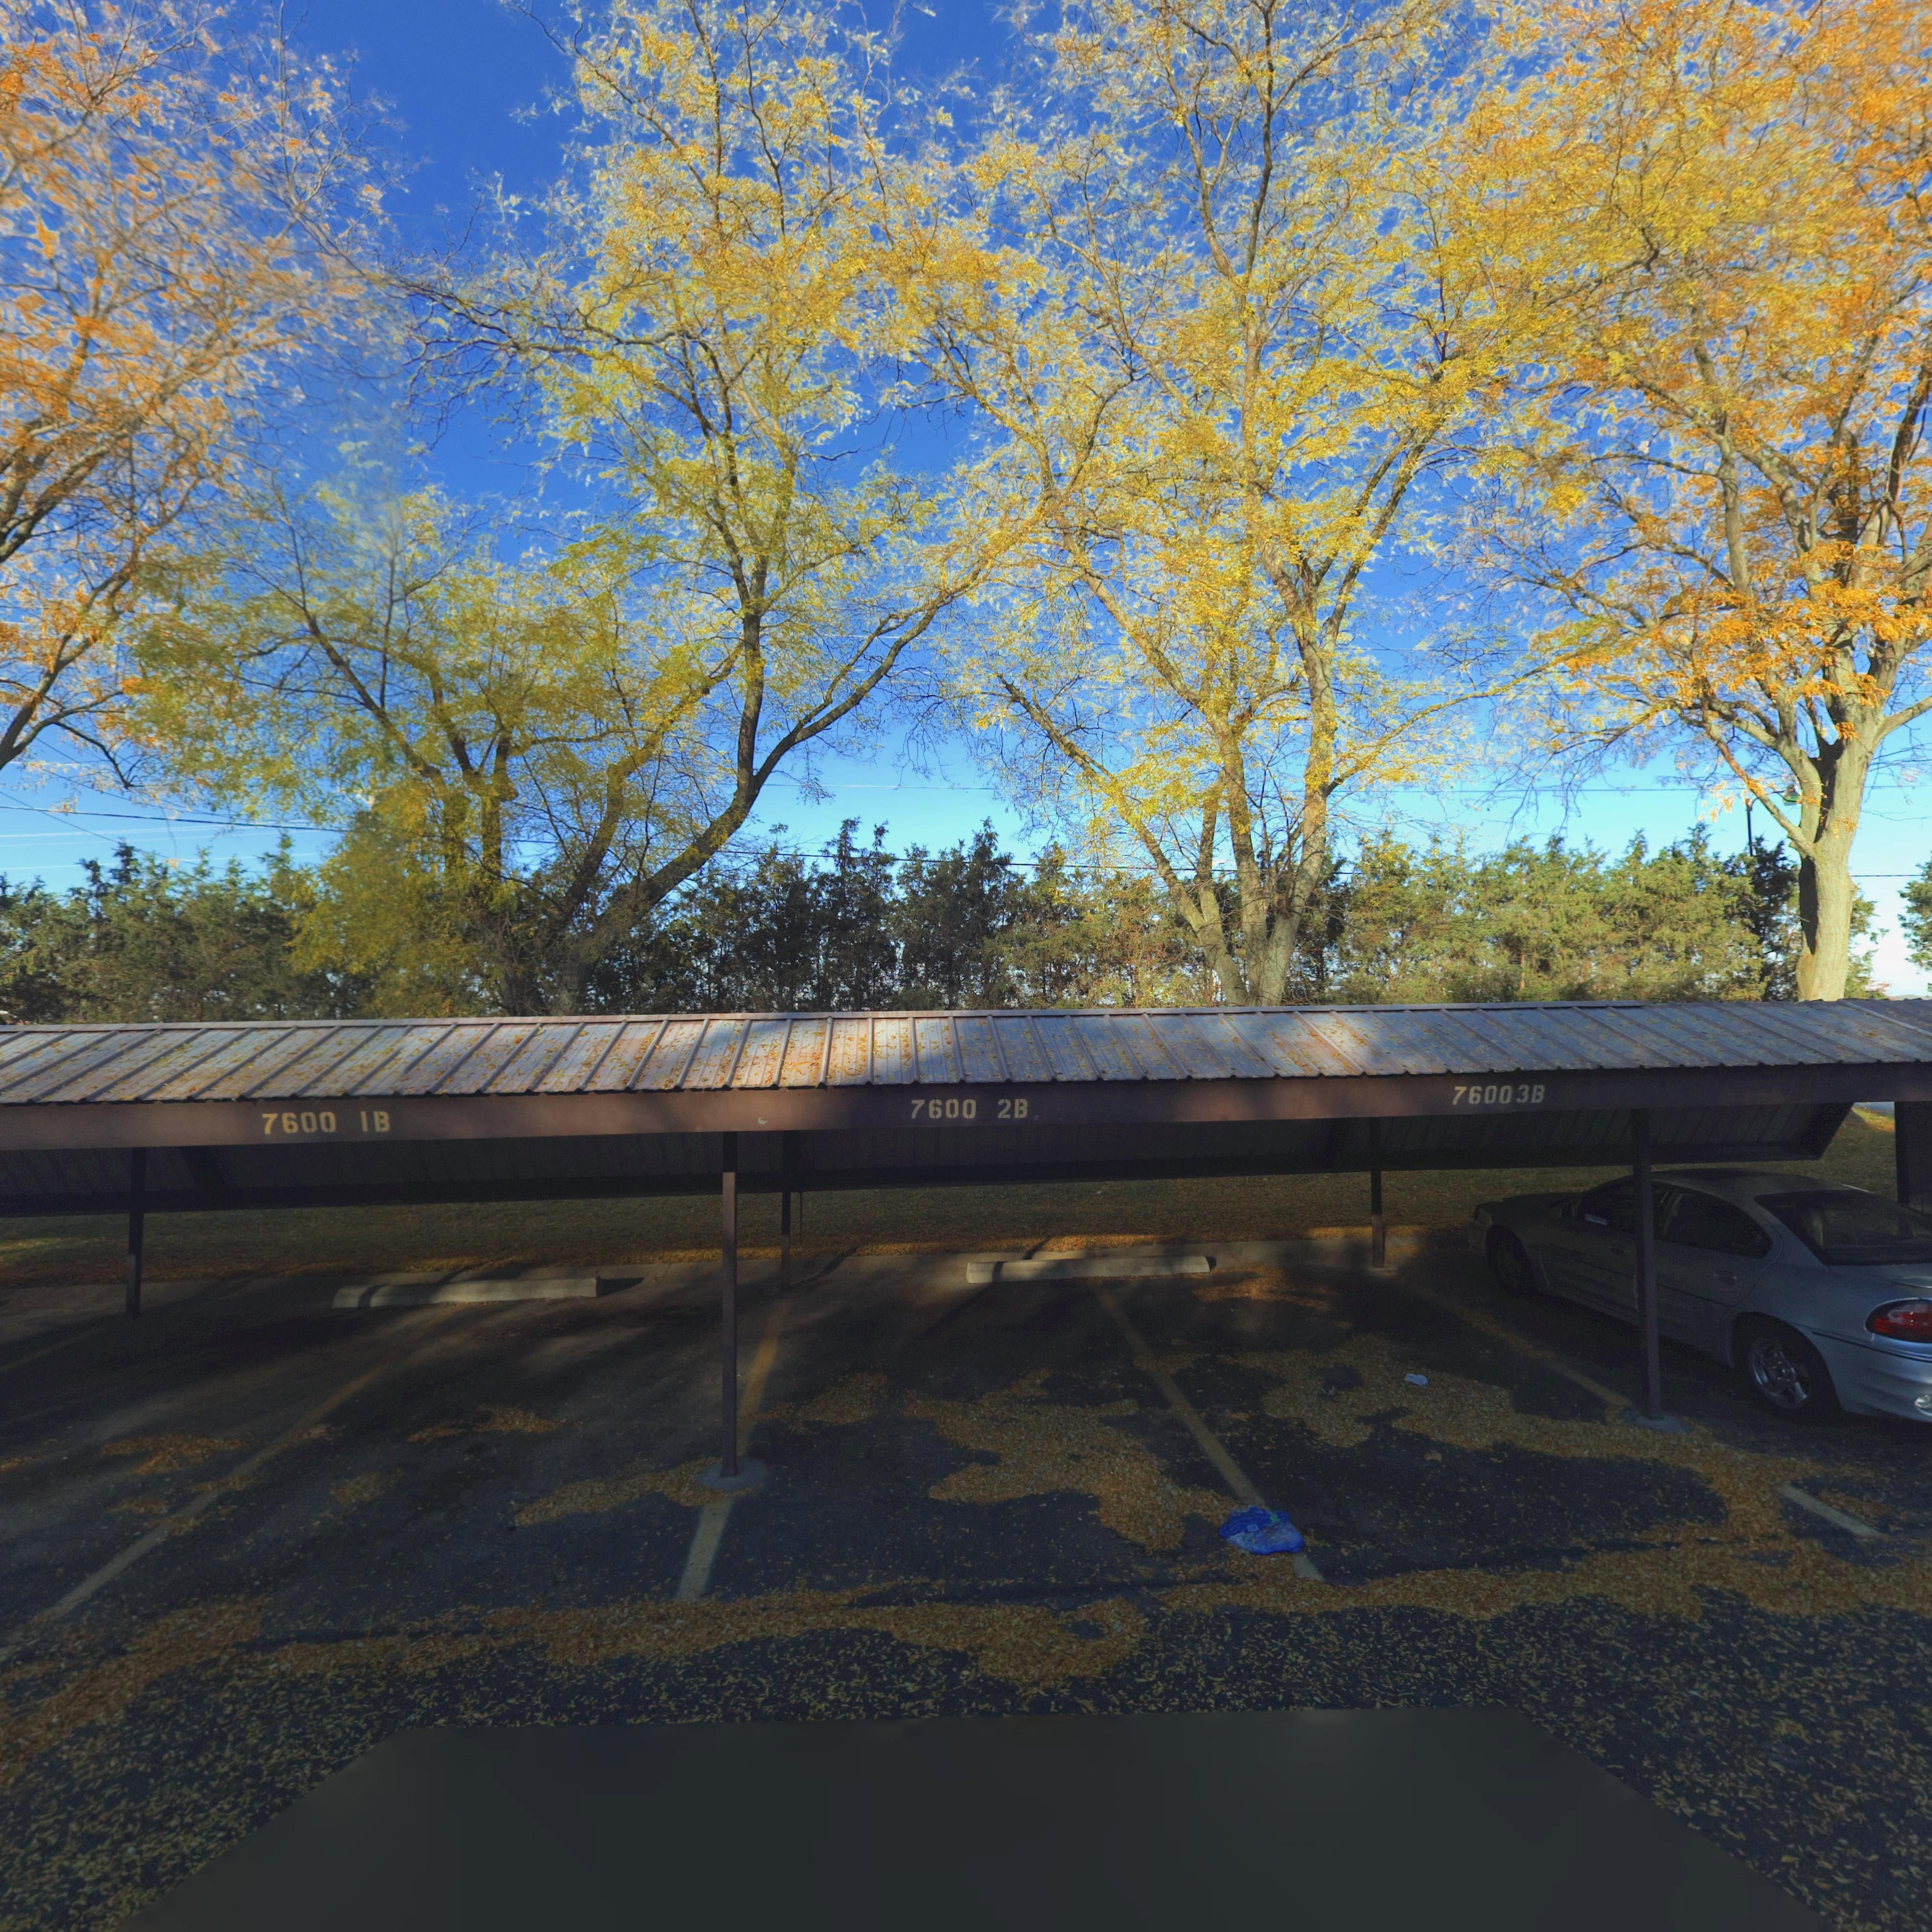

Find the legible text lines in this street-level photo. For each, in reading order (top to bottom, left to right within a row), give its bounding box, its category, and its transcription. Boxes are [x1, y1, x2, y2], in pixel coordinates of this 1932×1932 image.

[1451, 1085, 1513, 1105] StreetNumber: 7600
[910, 1099, 976, 1120] StreetNumber: 7600
[261, 1111, 338, 1135] StreetNumber: 7600